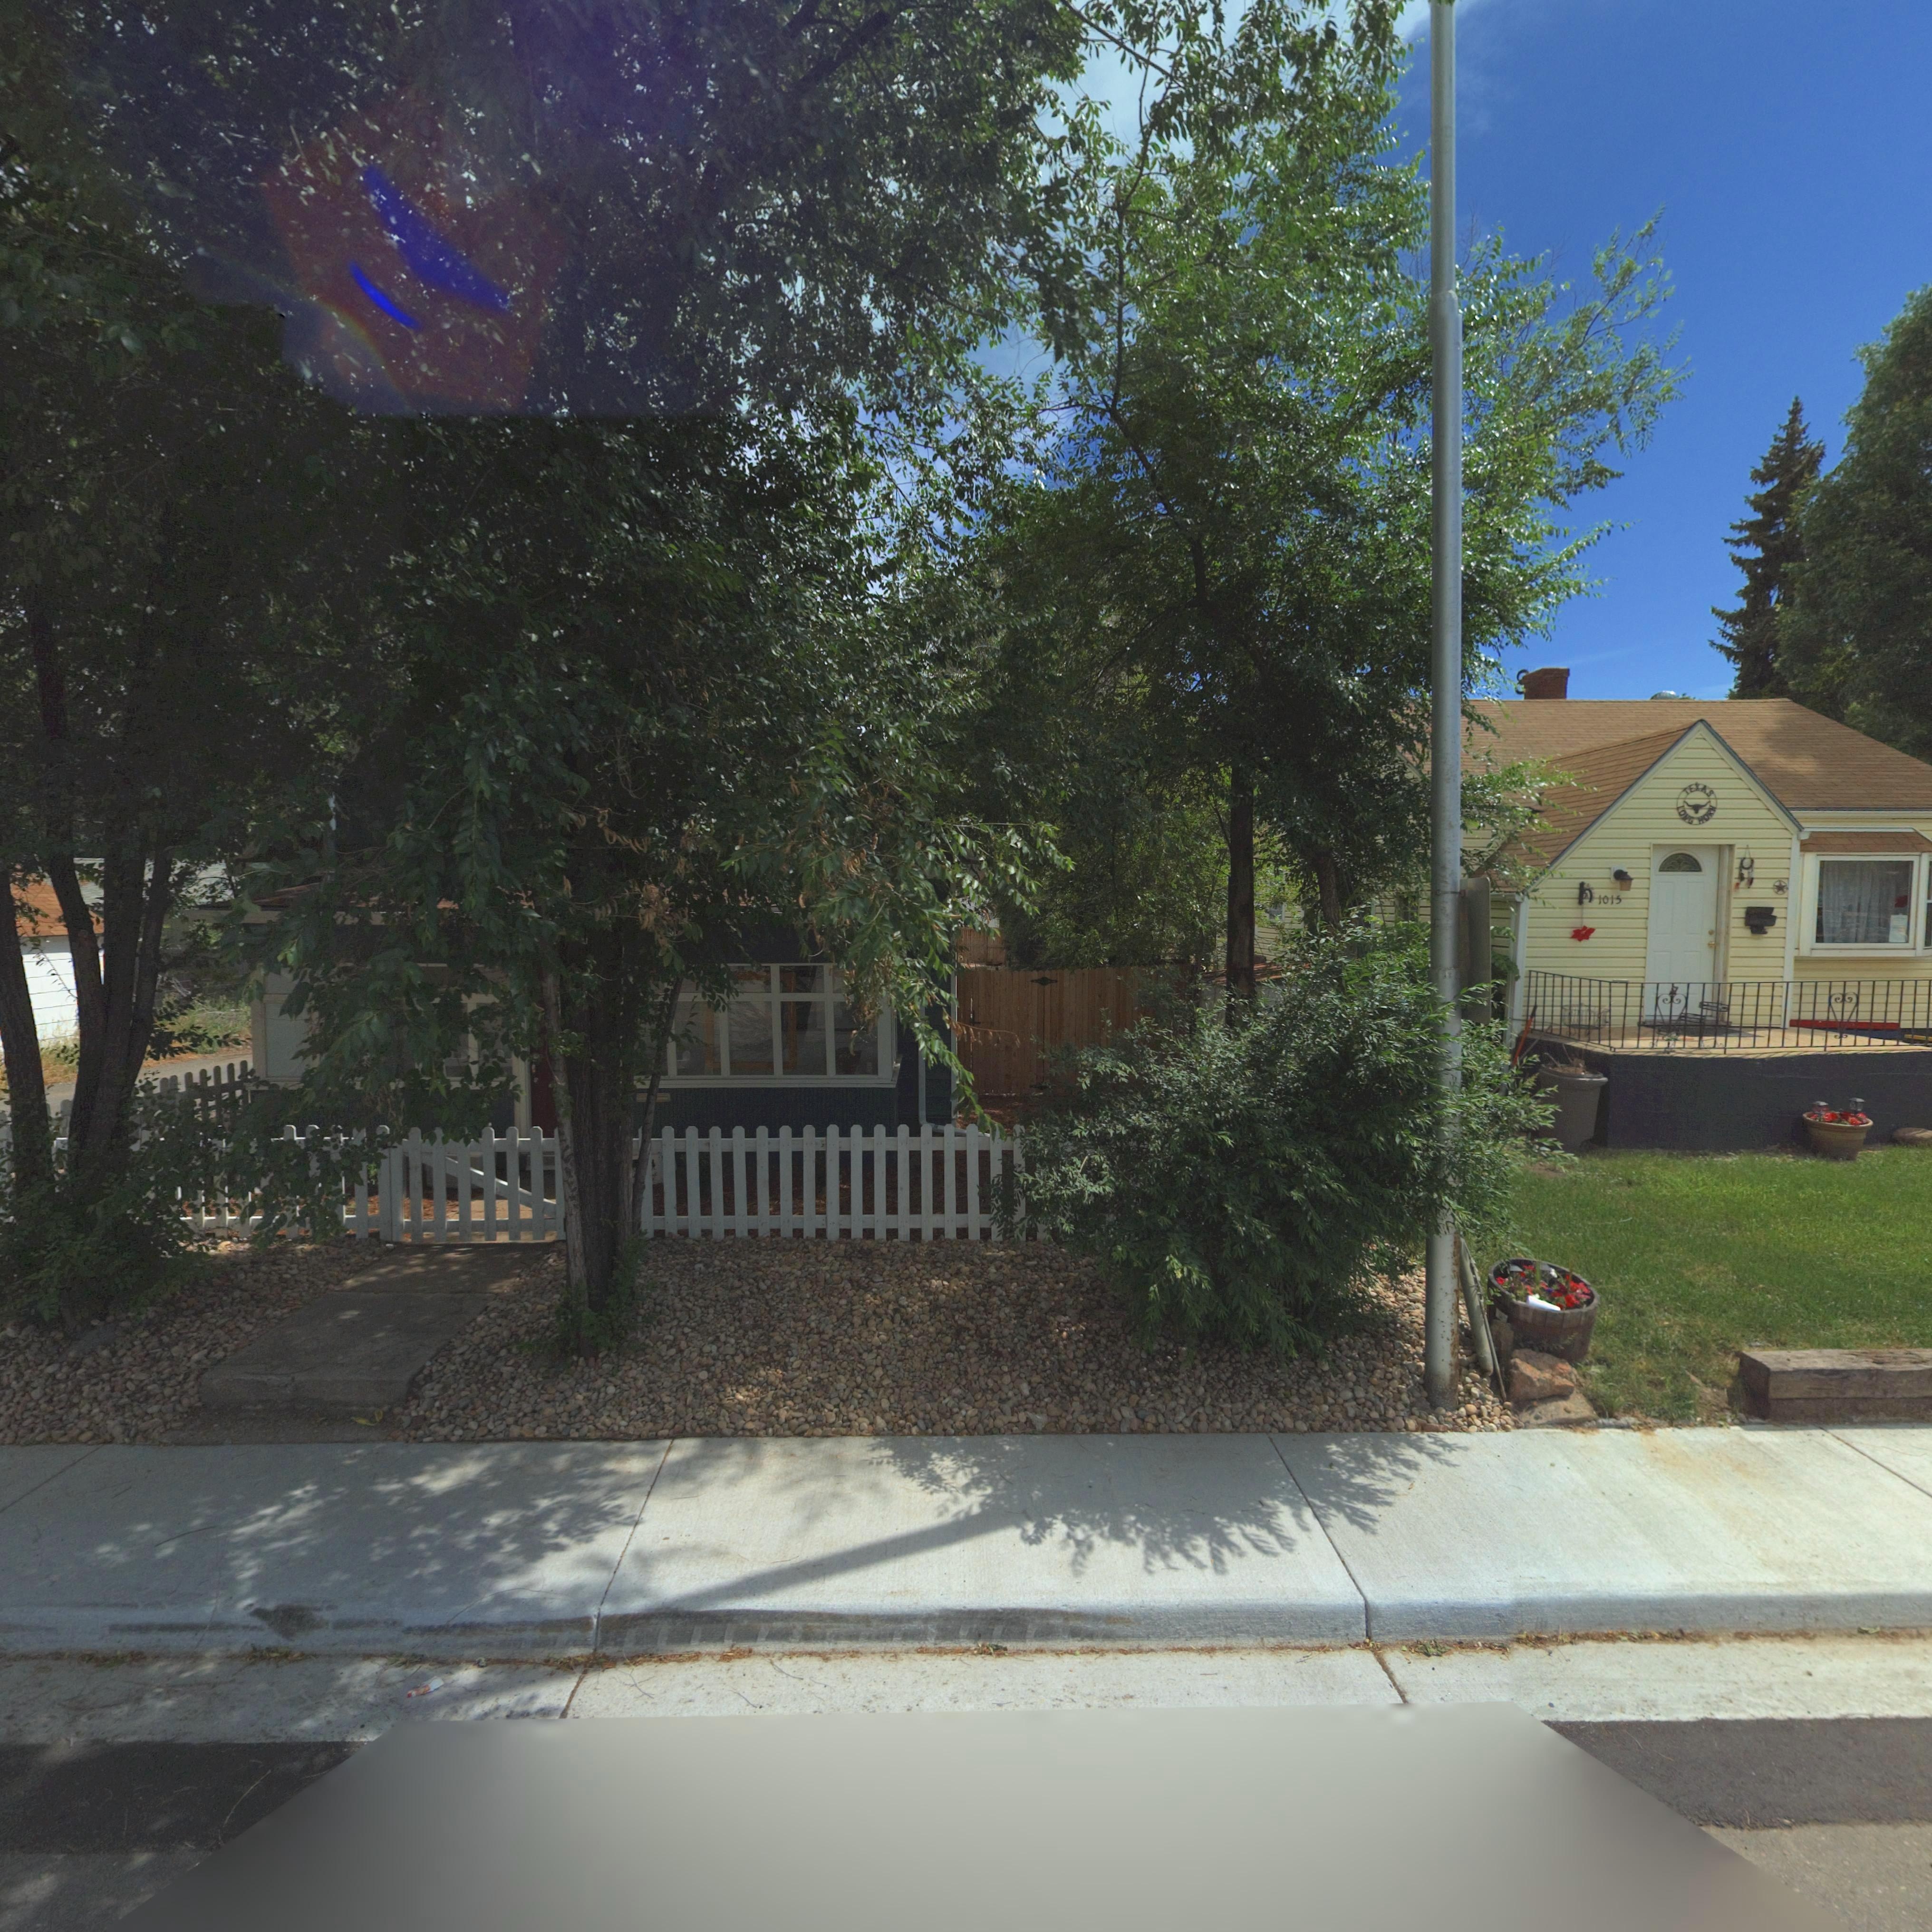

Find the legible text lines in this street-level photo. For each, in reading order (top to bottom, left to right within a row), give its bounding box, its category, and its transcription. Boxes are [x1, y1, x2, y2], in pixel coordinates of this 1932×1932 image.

[1598, 894, 1622, 905] StreetNumber: 1015